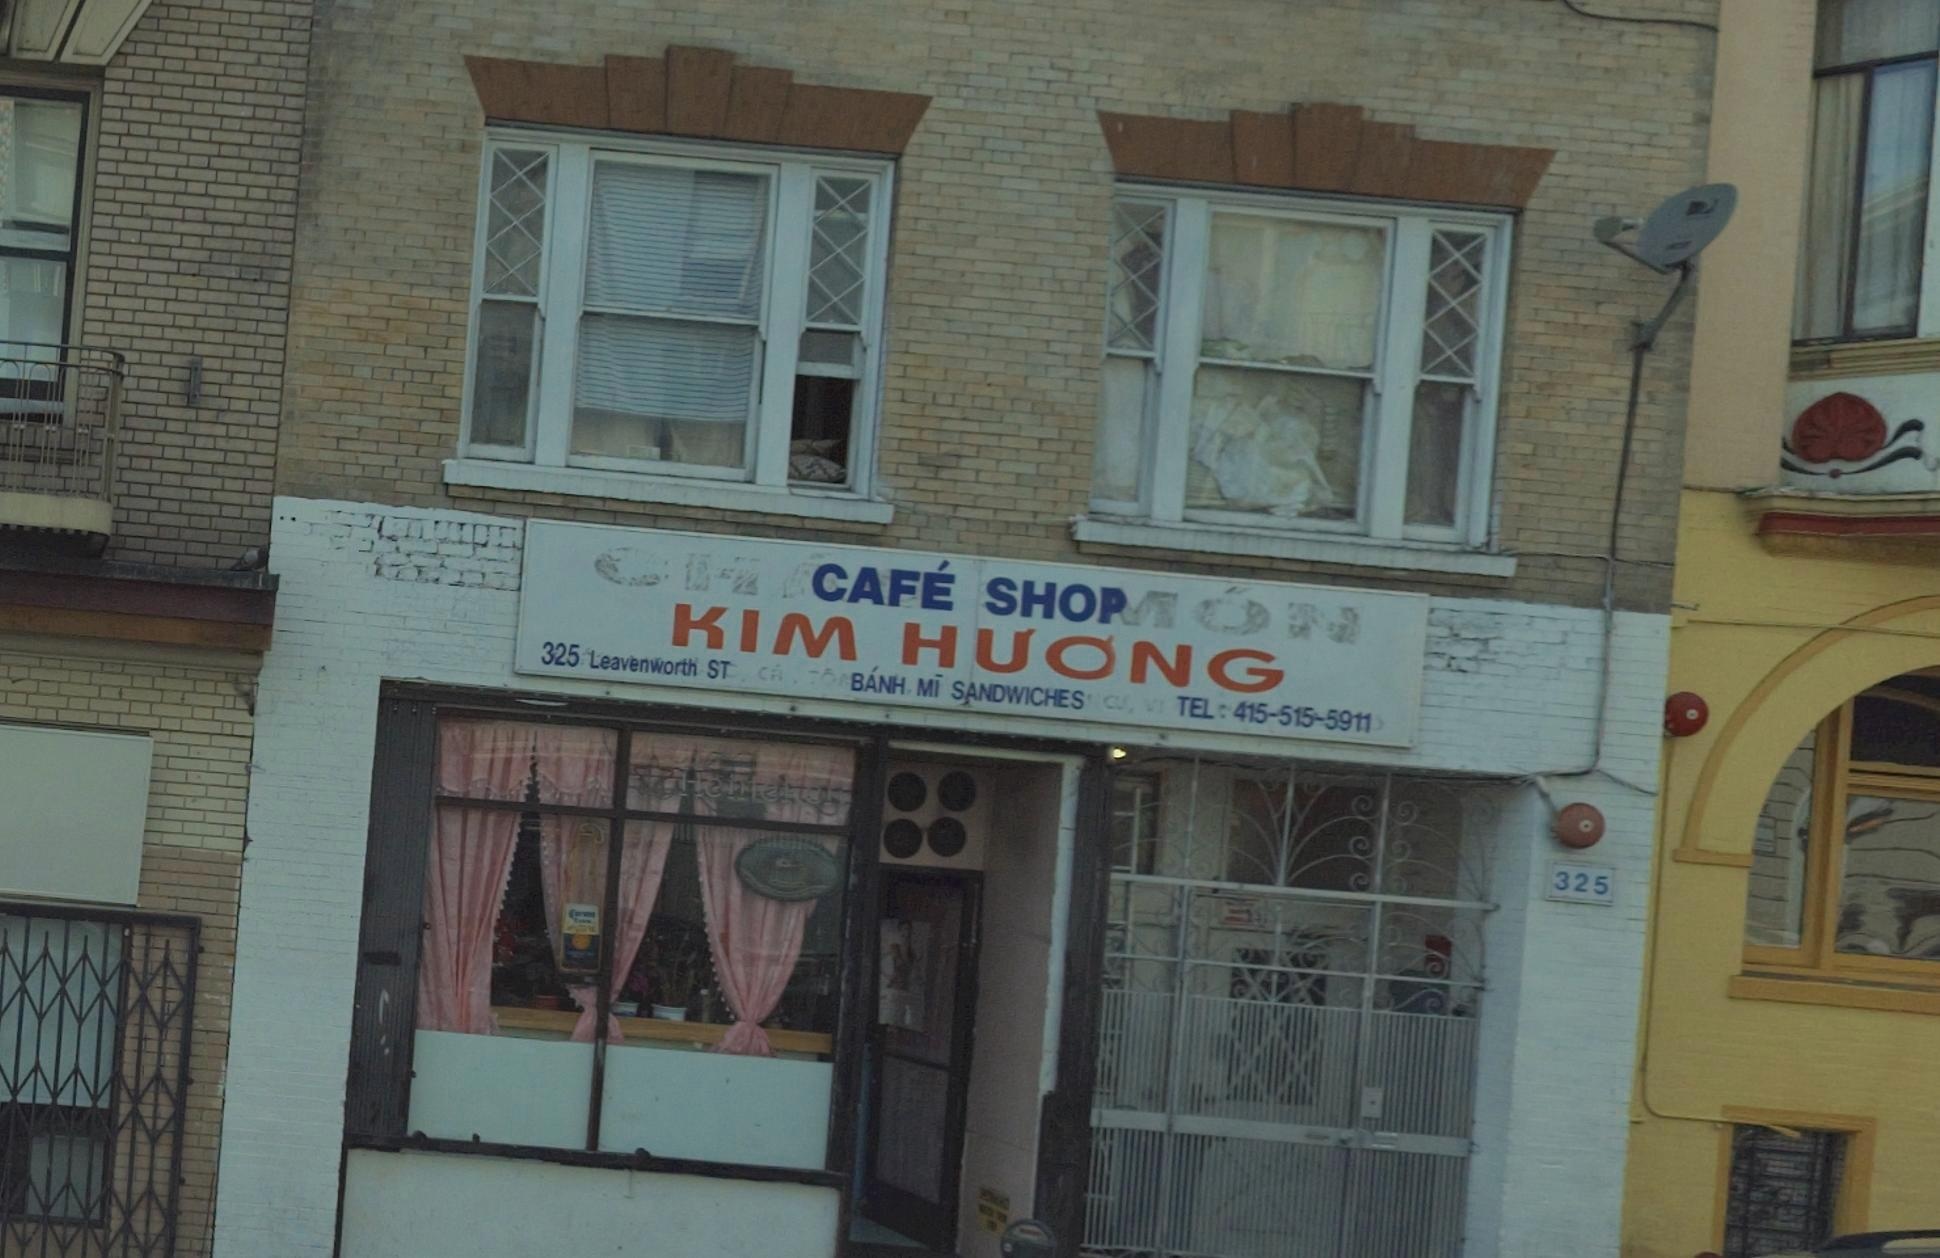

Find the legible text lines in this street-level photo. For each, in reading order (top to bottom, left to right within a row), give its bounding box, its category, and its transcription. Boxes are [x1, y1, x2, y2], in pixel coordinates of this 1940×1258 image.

[805, 559, 1132, 628] BusinessName: CAFE SHOP
[538, 637, 583, 671] StreetNumber: 325
[587, 647, 735, 682] StreetName: Leavenworth ST
[668, 599, 1288, 696] BusinessName: KIM HU*NG
[848, 669, 1088, 712] None: BANH MI SANDWICHES
[1173, 692, 1376, 736] None: TEL : 415-515-5911
[1550, 867, 1612, 899] StreetNumber: 325